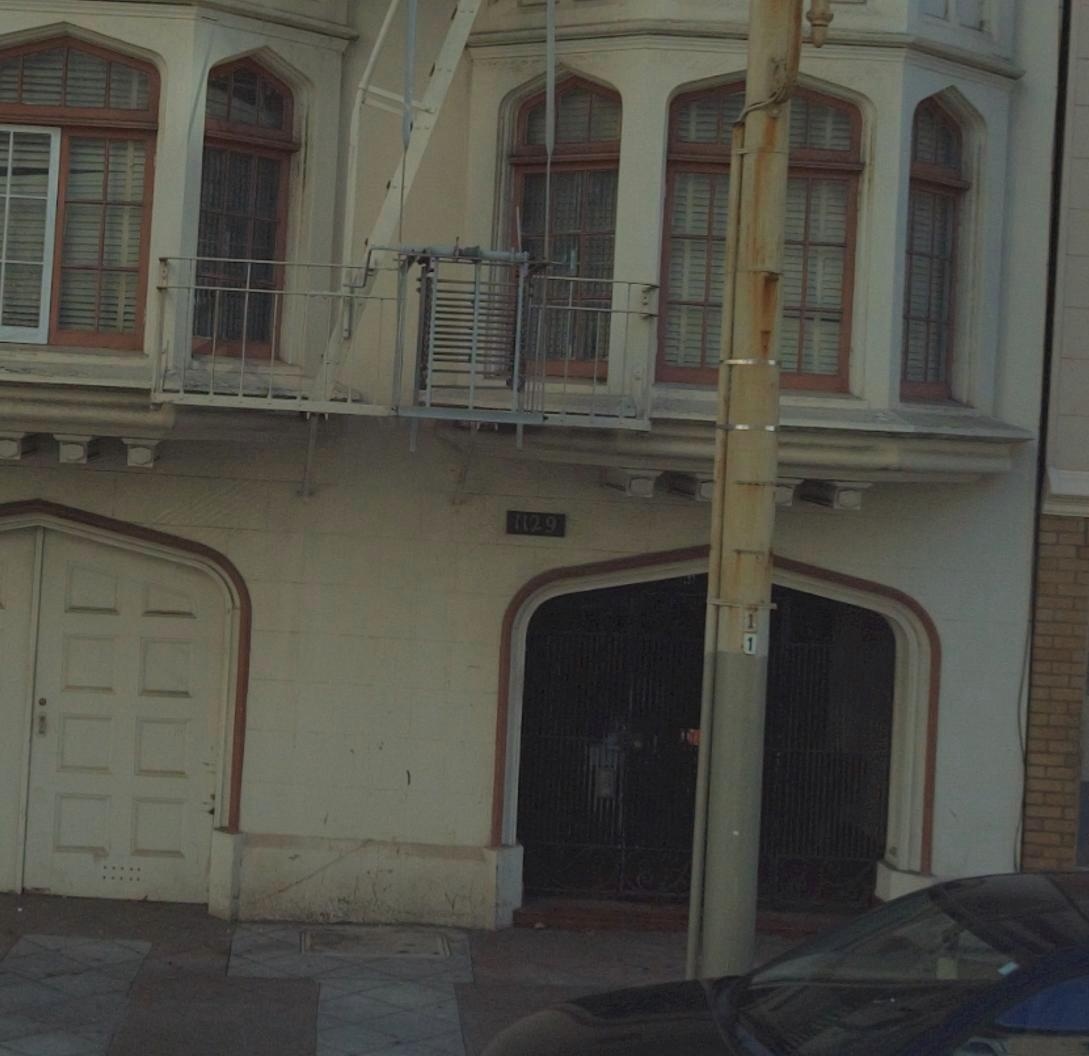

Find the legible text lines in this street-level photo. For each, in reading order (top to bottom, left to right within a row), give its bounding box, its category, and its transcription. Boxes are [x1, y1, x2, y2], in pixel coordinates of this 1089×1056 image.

[512, 512, 559, 534] StreetNumber: 1129
[745, 610, 756, 653] None: 11